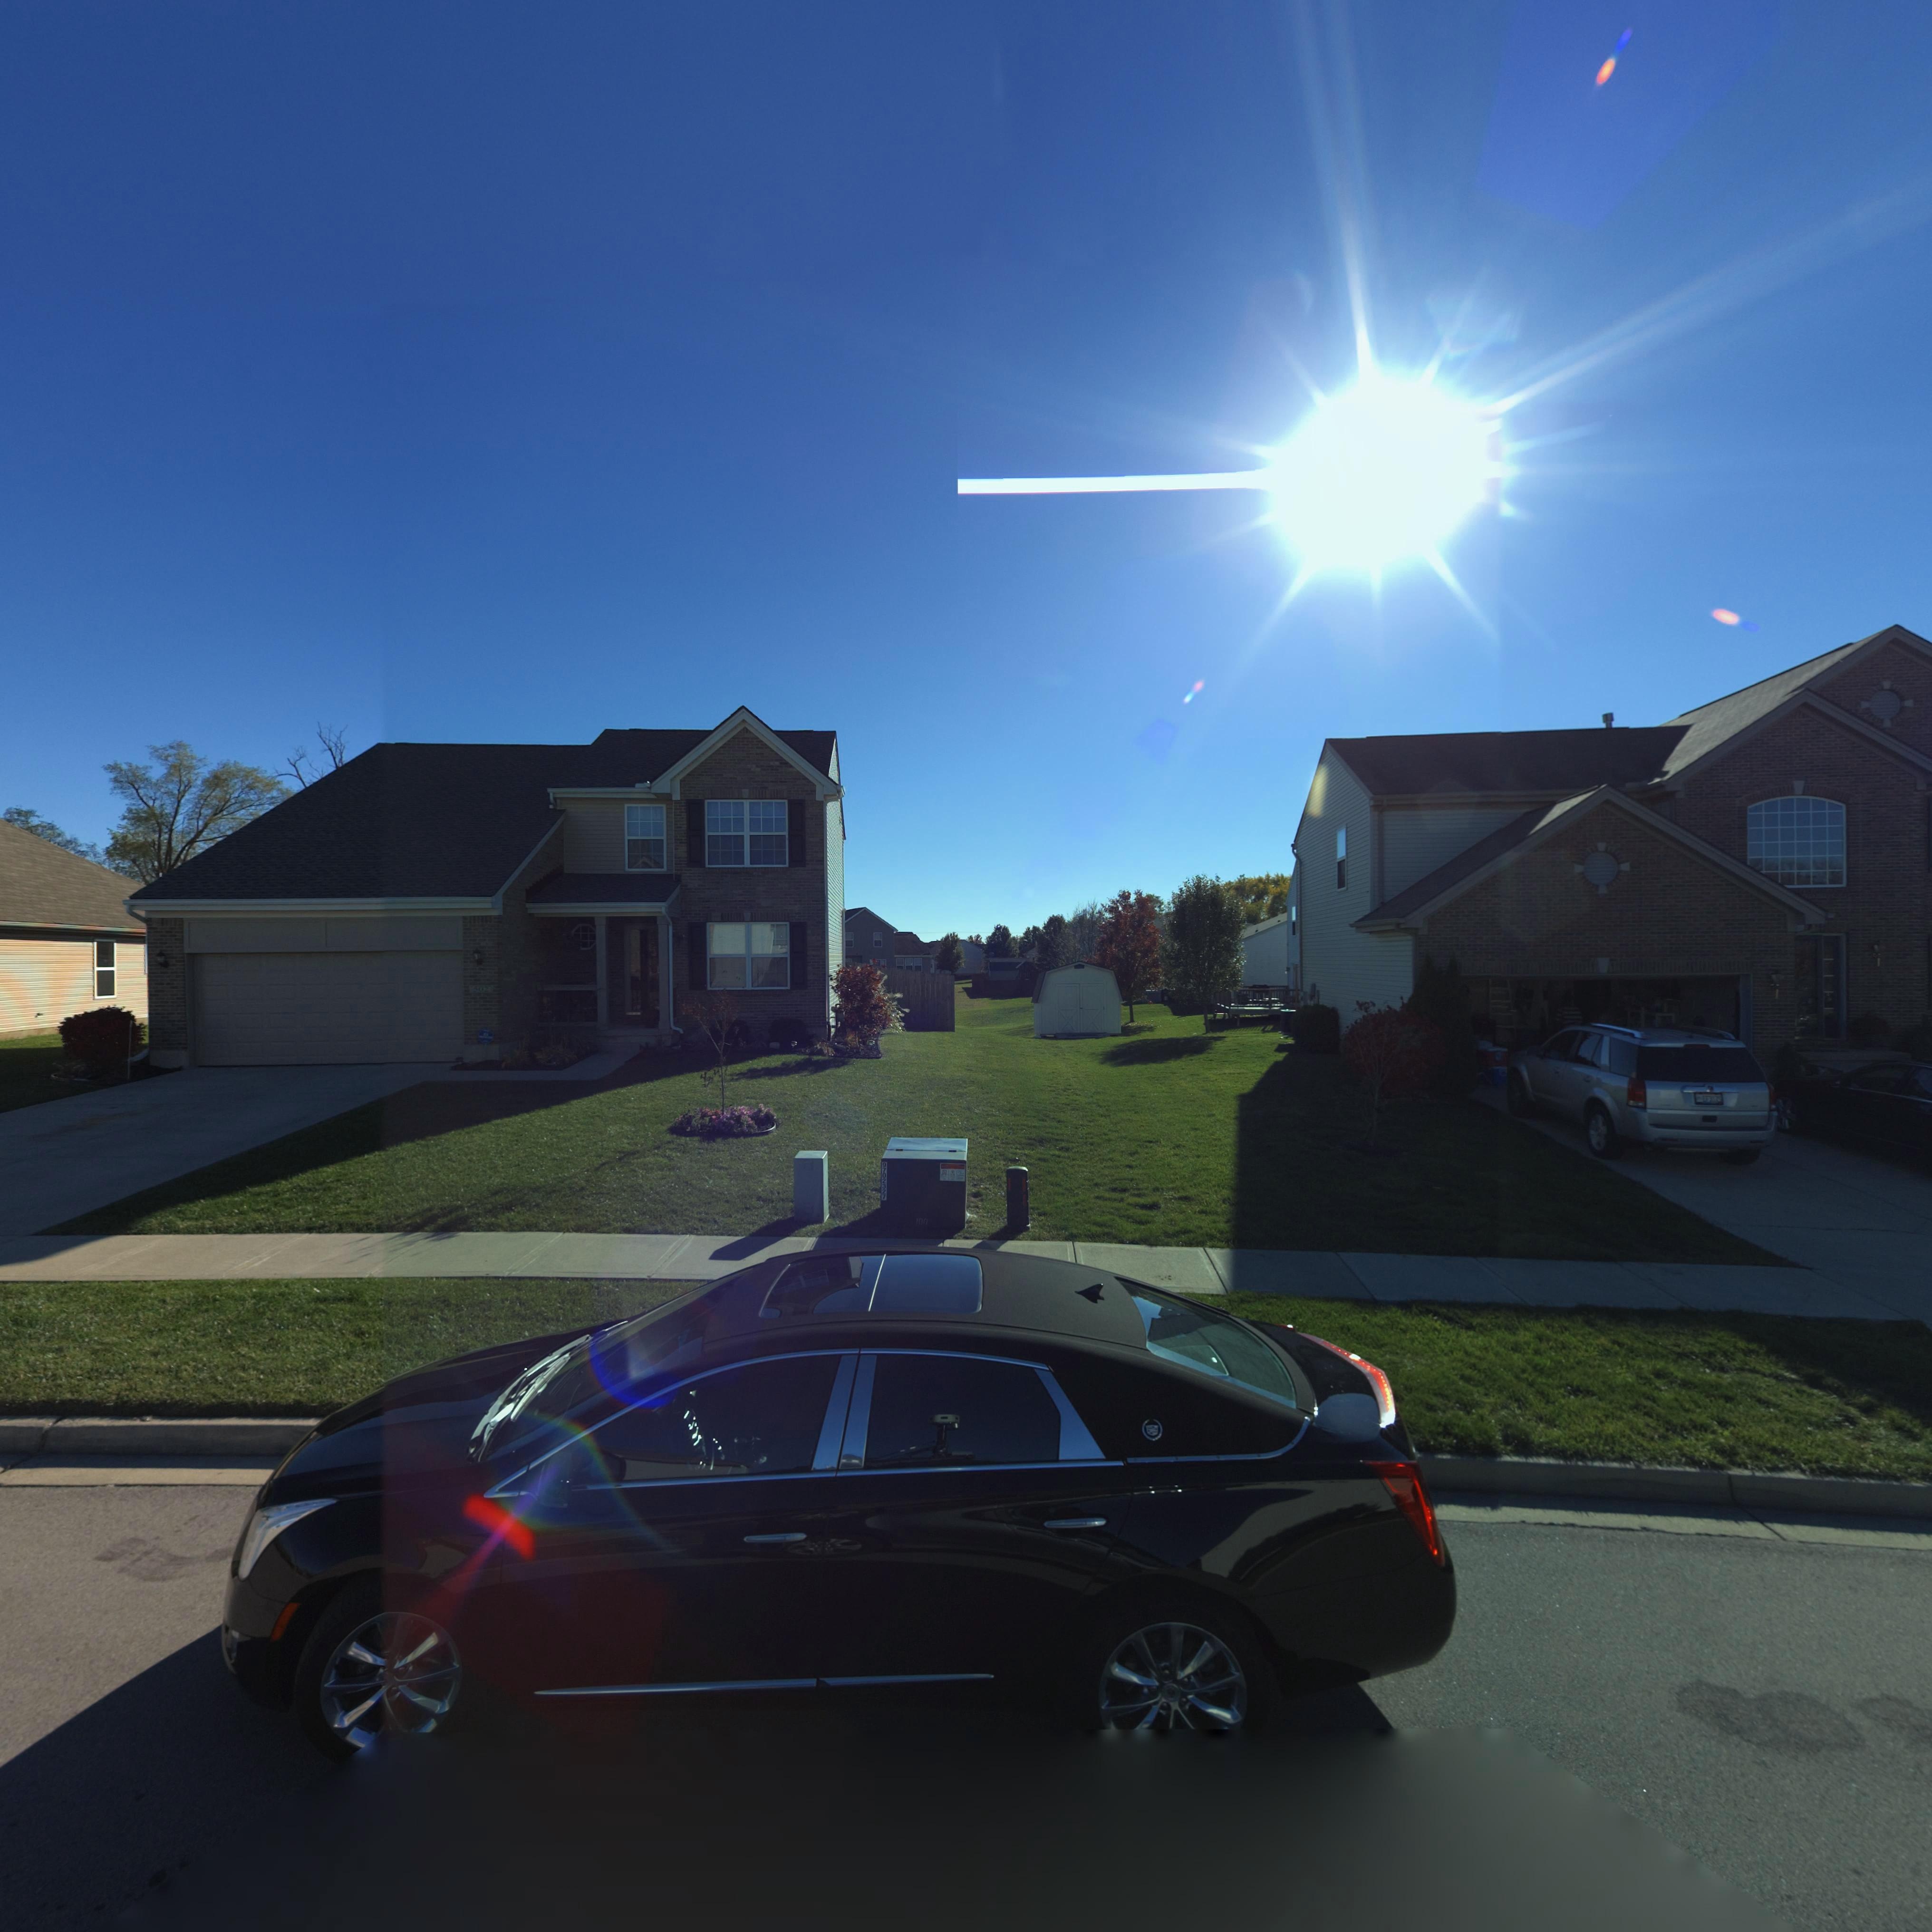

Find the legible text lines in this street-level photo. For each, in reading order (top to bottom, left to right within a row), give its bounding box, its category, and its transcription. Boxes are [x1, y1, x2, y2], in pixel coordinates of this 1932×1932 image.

[473, 985, 490, 994] StreetNumber: 502
[881, 1162, 888, 1200] None: 9702327
[916, 1217, 929, 1226] None: 100